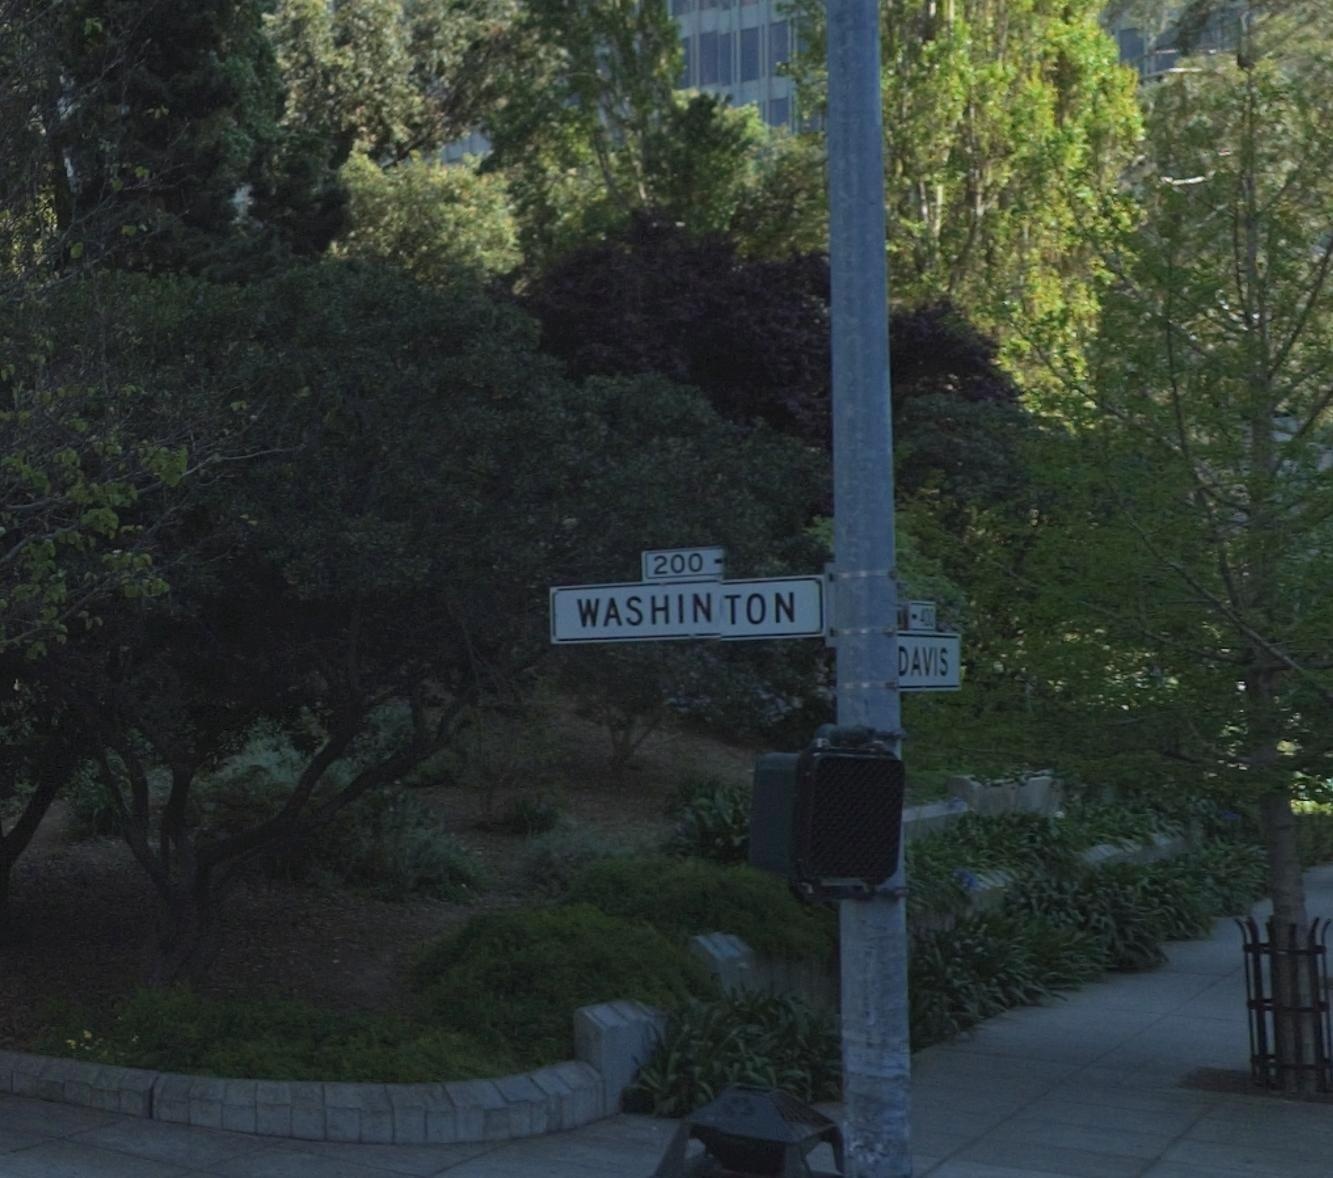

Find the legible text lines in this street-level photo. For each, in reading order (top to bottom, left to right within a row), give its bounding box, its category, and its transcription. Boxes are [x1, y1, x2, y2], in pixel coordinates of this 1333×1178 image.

[650, 549, 707, 580] StreetNumberRange: 200
[570, 585, 802, 635] StreetName: WASHIN*TON
[895, 643, 953, 680] StreetName: DAVIS